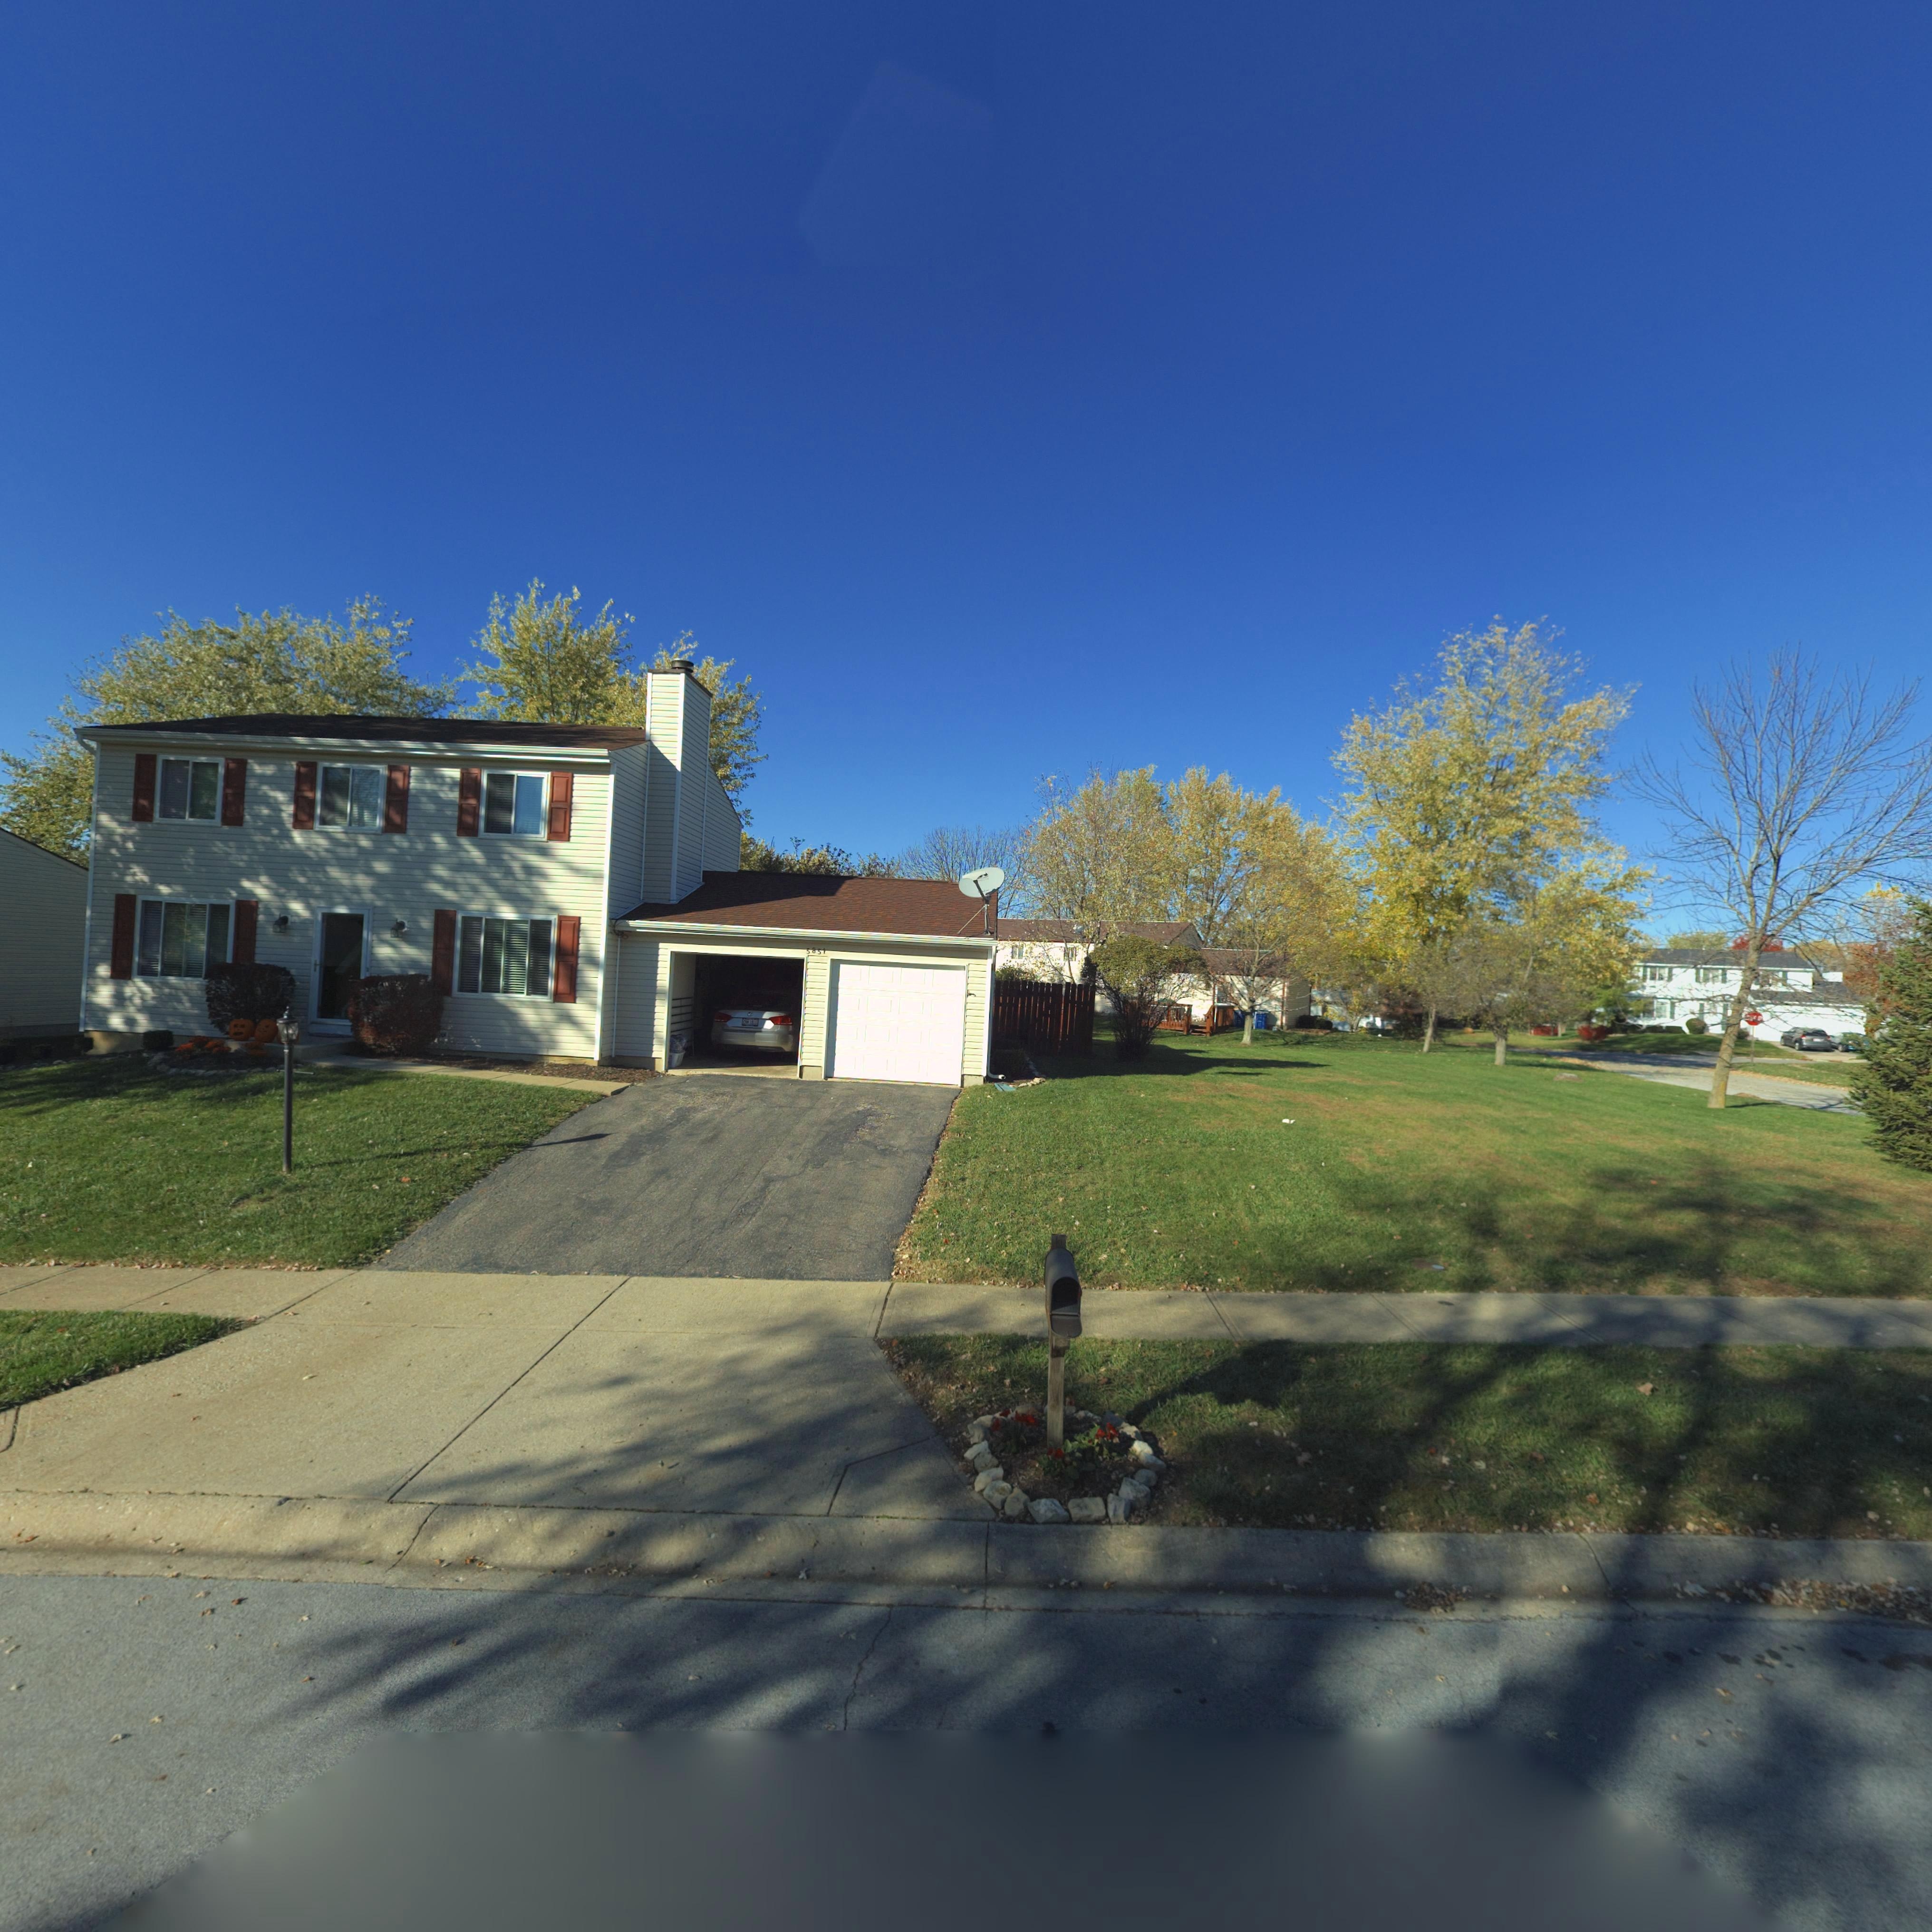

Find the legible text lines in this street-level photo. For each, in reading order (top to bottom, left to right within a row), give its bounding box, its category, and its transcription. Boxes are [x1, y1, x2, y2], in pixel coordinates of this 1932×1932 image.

[805, 947, 826, 955] StreetNumber: 5851